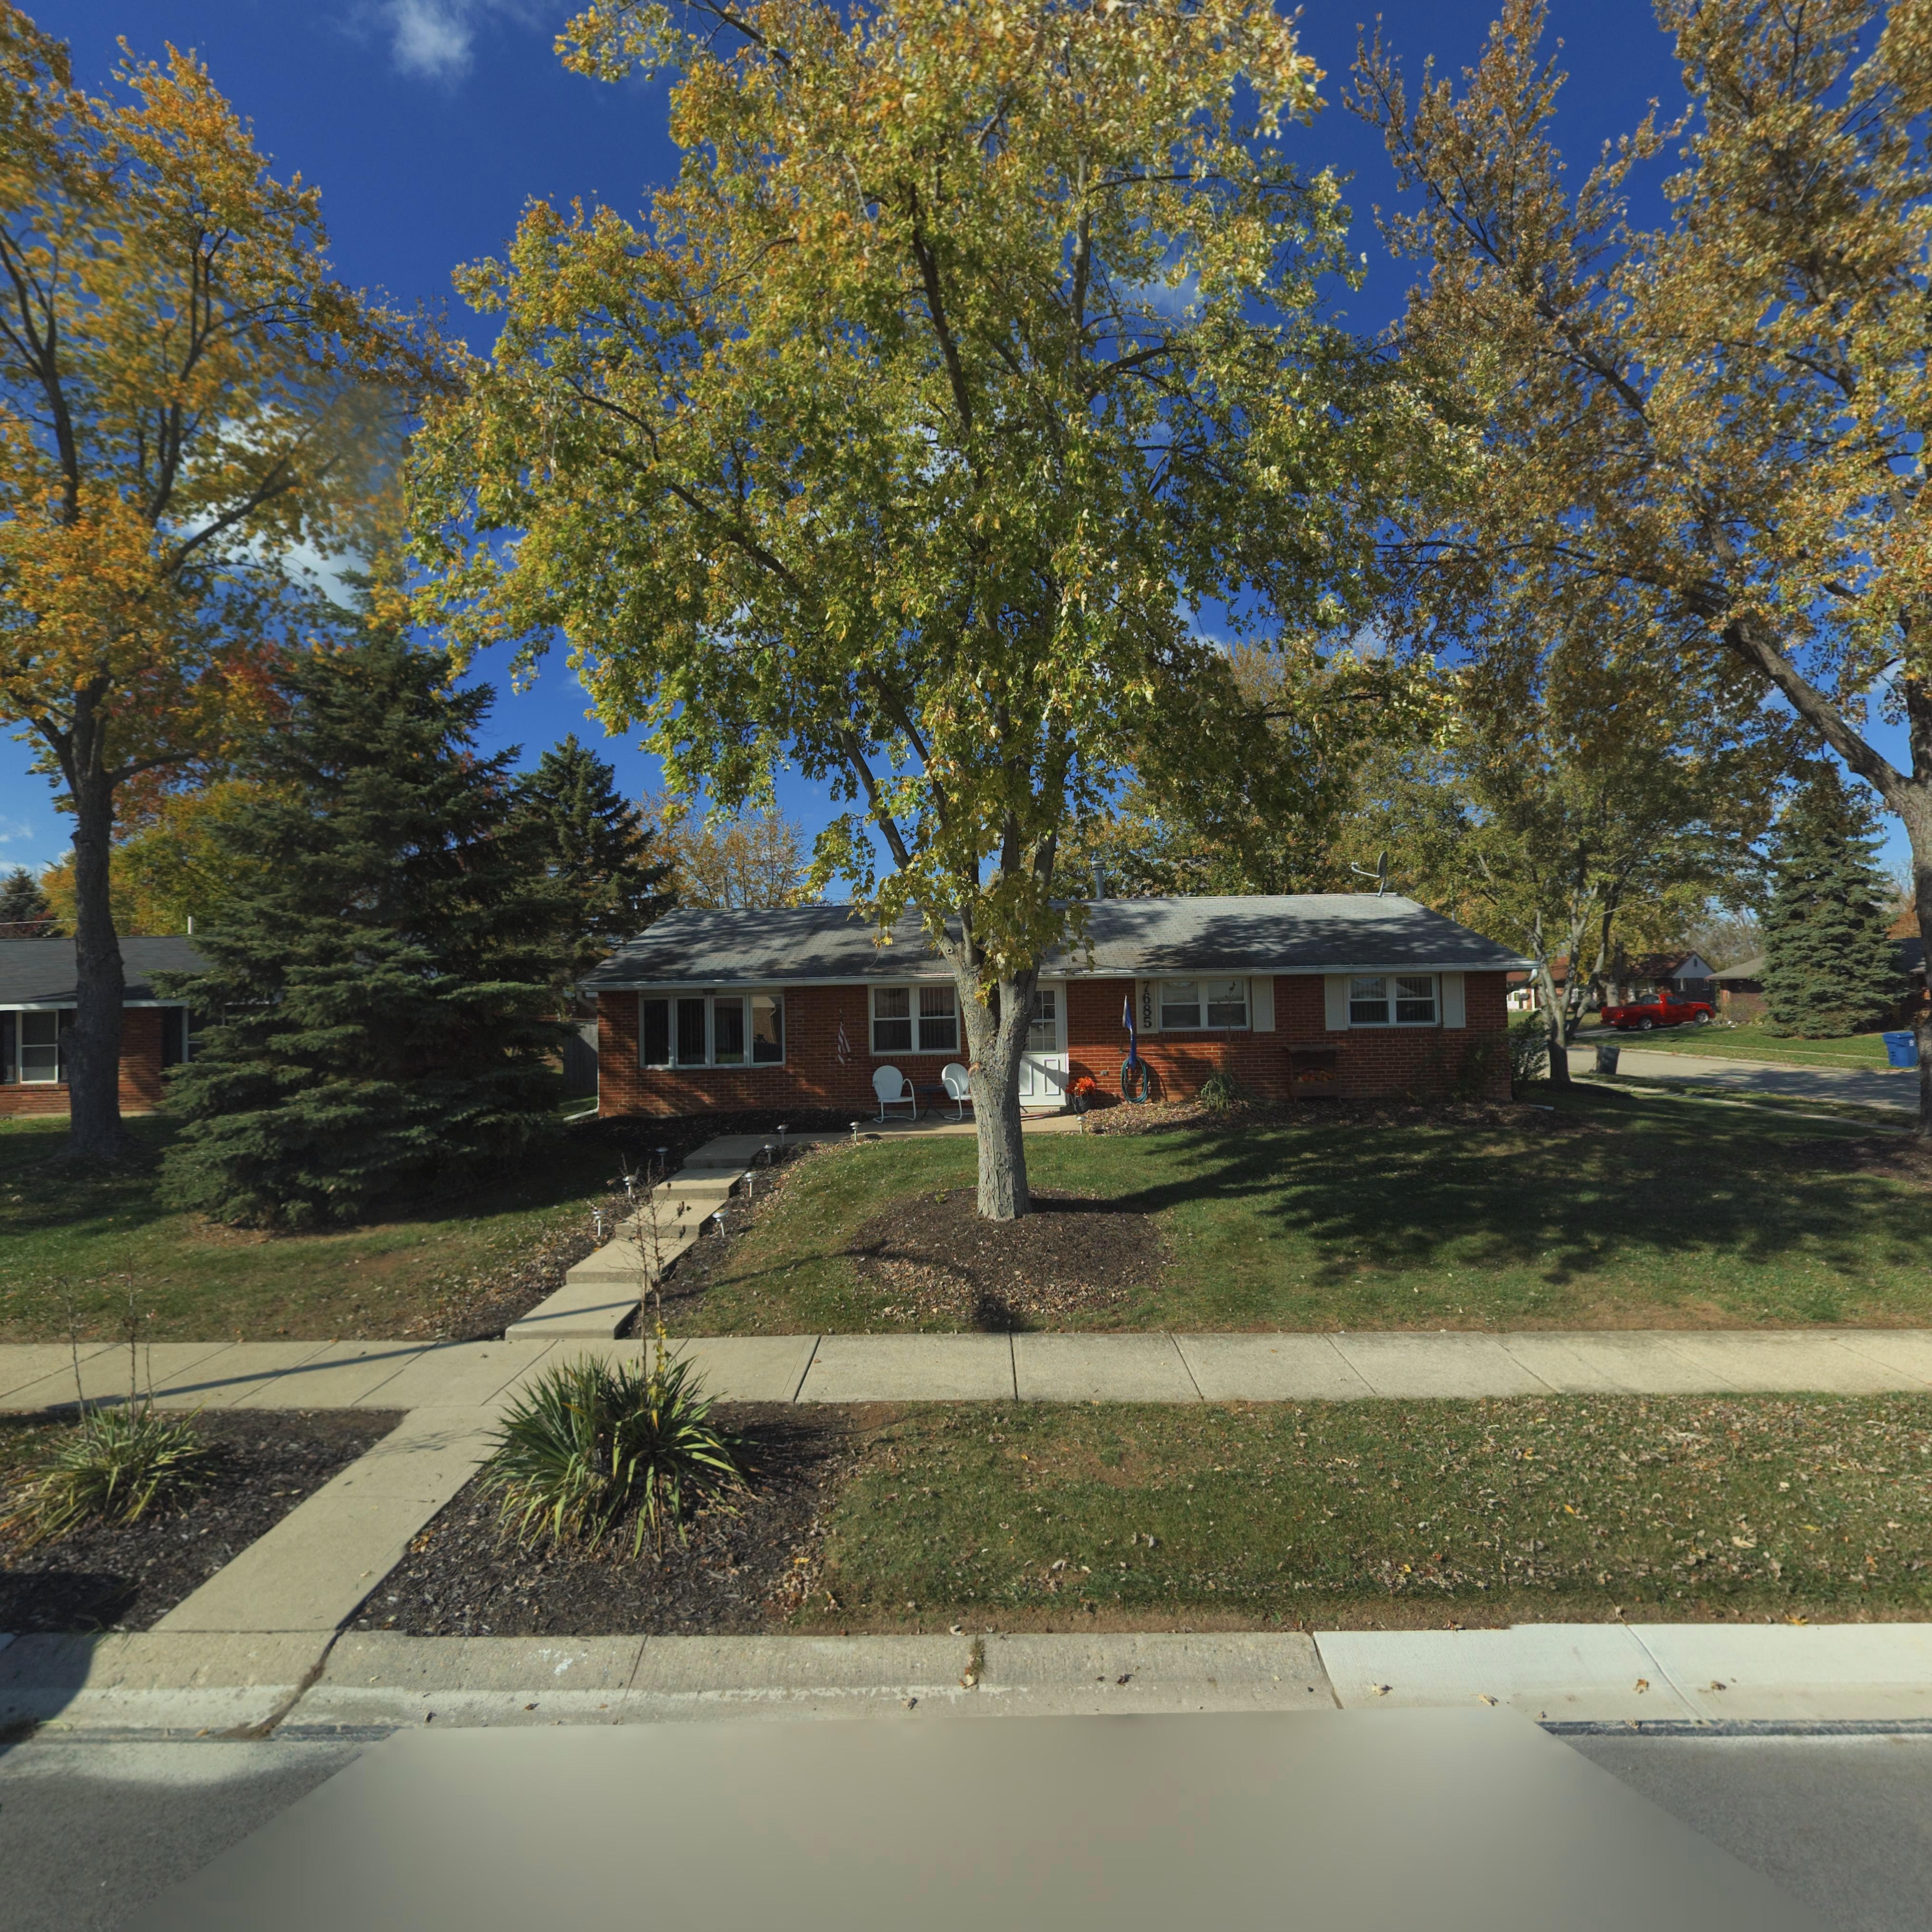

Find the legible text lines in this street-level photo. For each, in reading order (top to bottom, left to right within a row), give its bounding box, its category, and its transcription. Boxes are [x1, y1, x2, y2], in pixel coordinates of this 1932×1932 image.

[1141, 979, 1153, 1029] StreetNumber: 7685